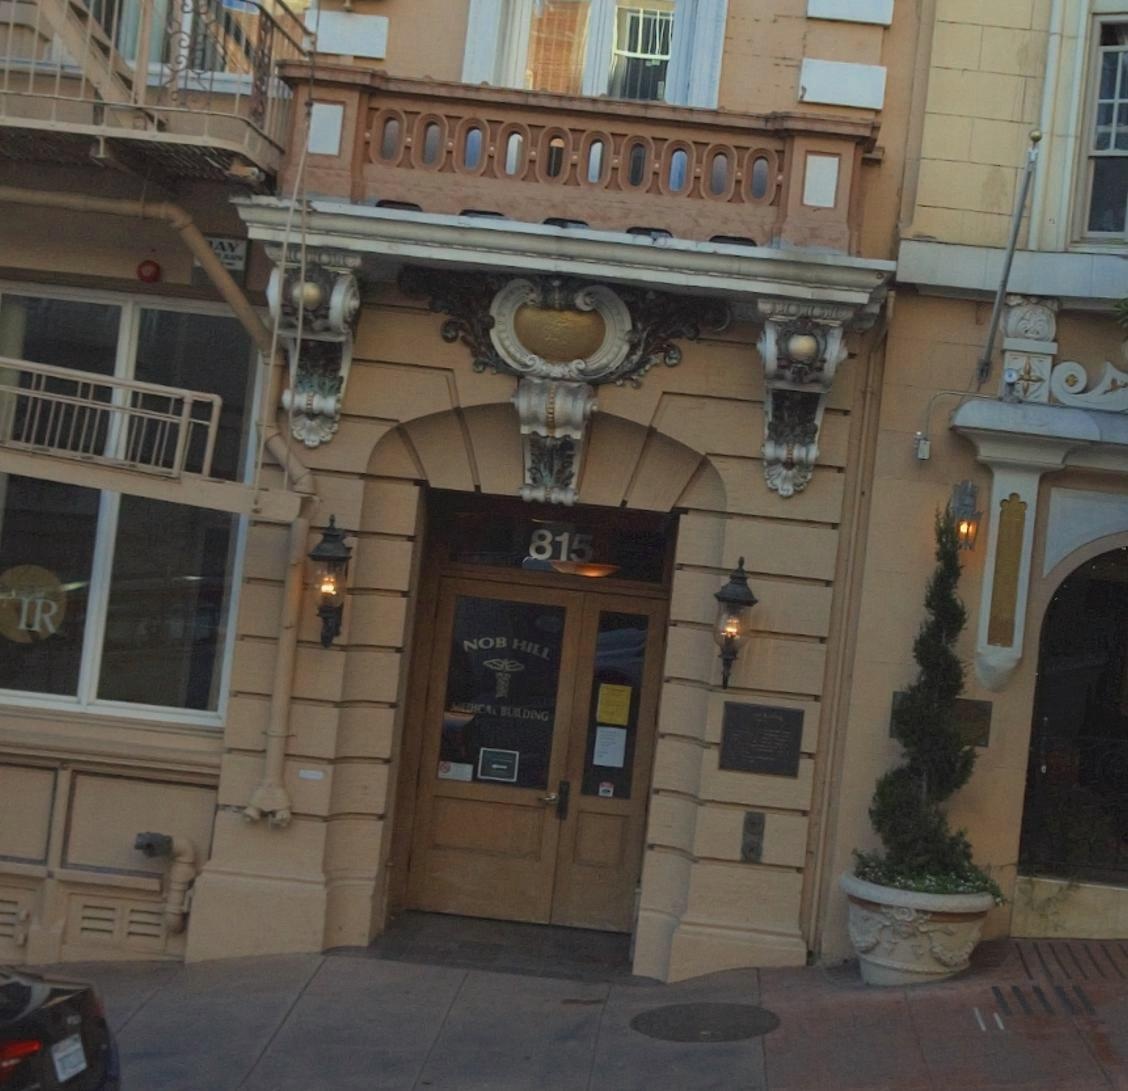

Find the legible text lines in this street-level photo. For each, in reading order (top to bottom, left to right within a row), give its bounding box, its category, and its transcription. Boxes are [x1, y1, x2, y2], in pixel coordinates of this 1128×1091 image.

[211, 239, 241, 254] None: AY
[525, 524, 595, 565] StreetNumber: 815
[14, 595, 61, 635] None: IR
[461, 635, 555, 662] BusinessName: NOB HILL
[448, 699, 550, 723] BusinessName: MEDICAL BUILDING